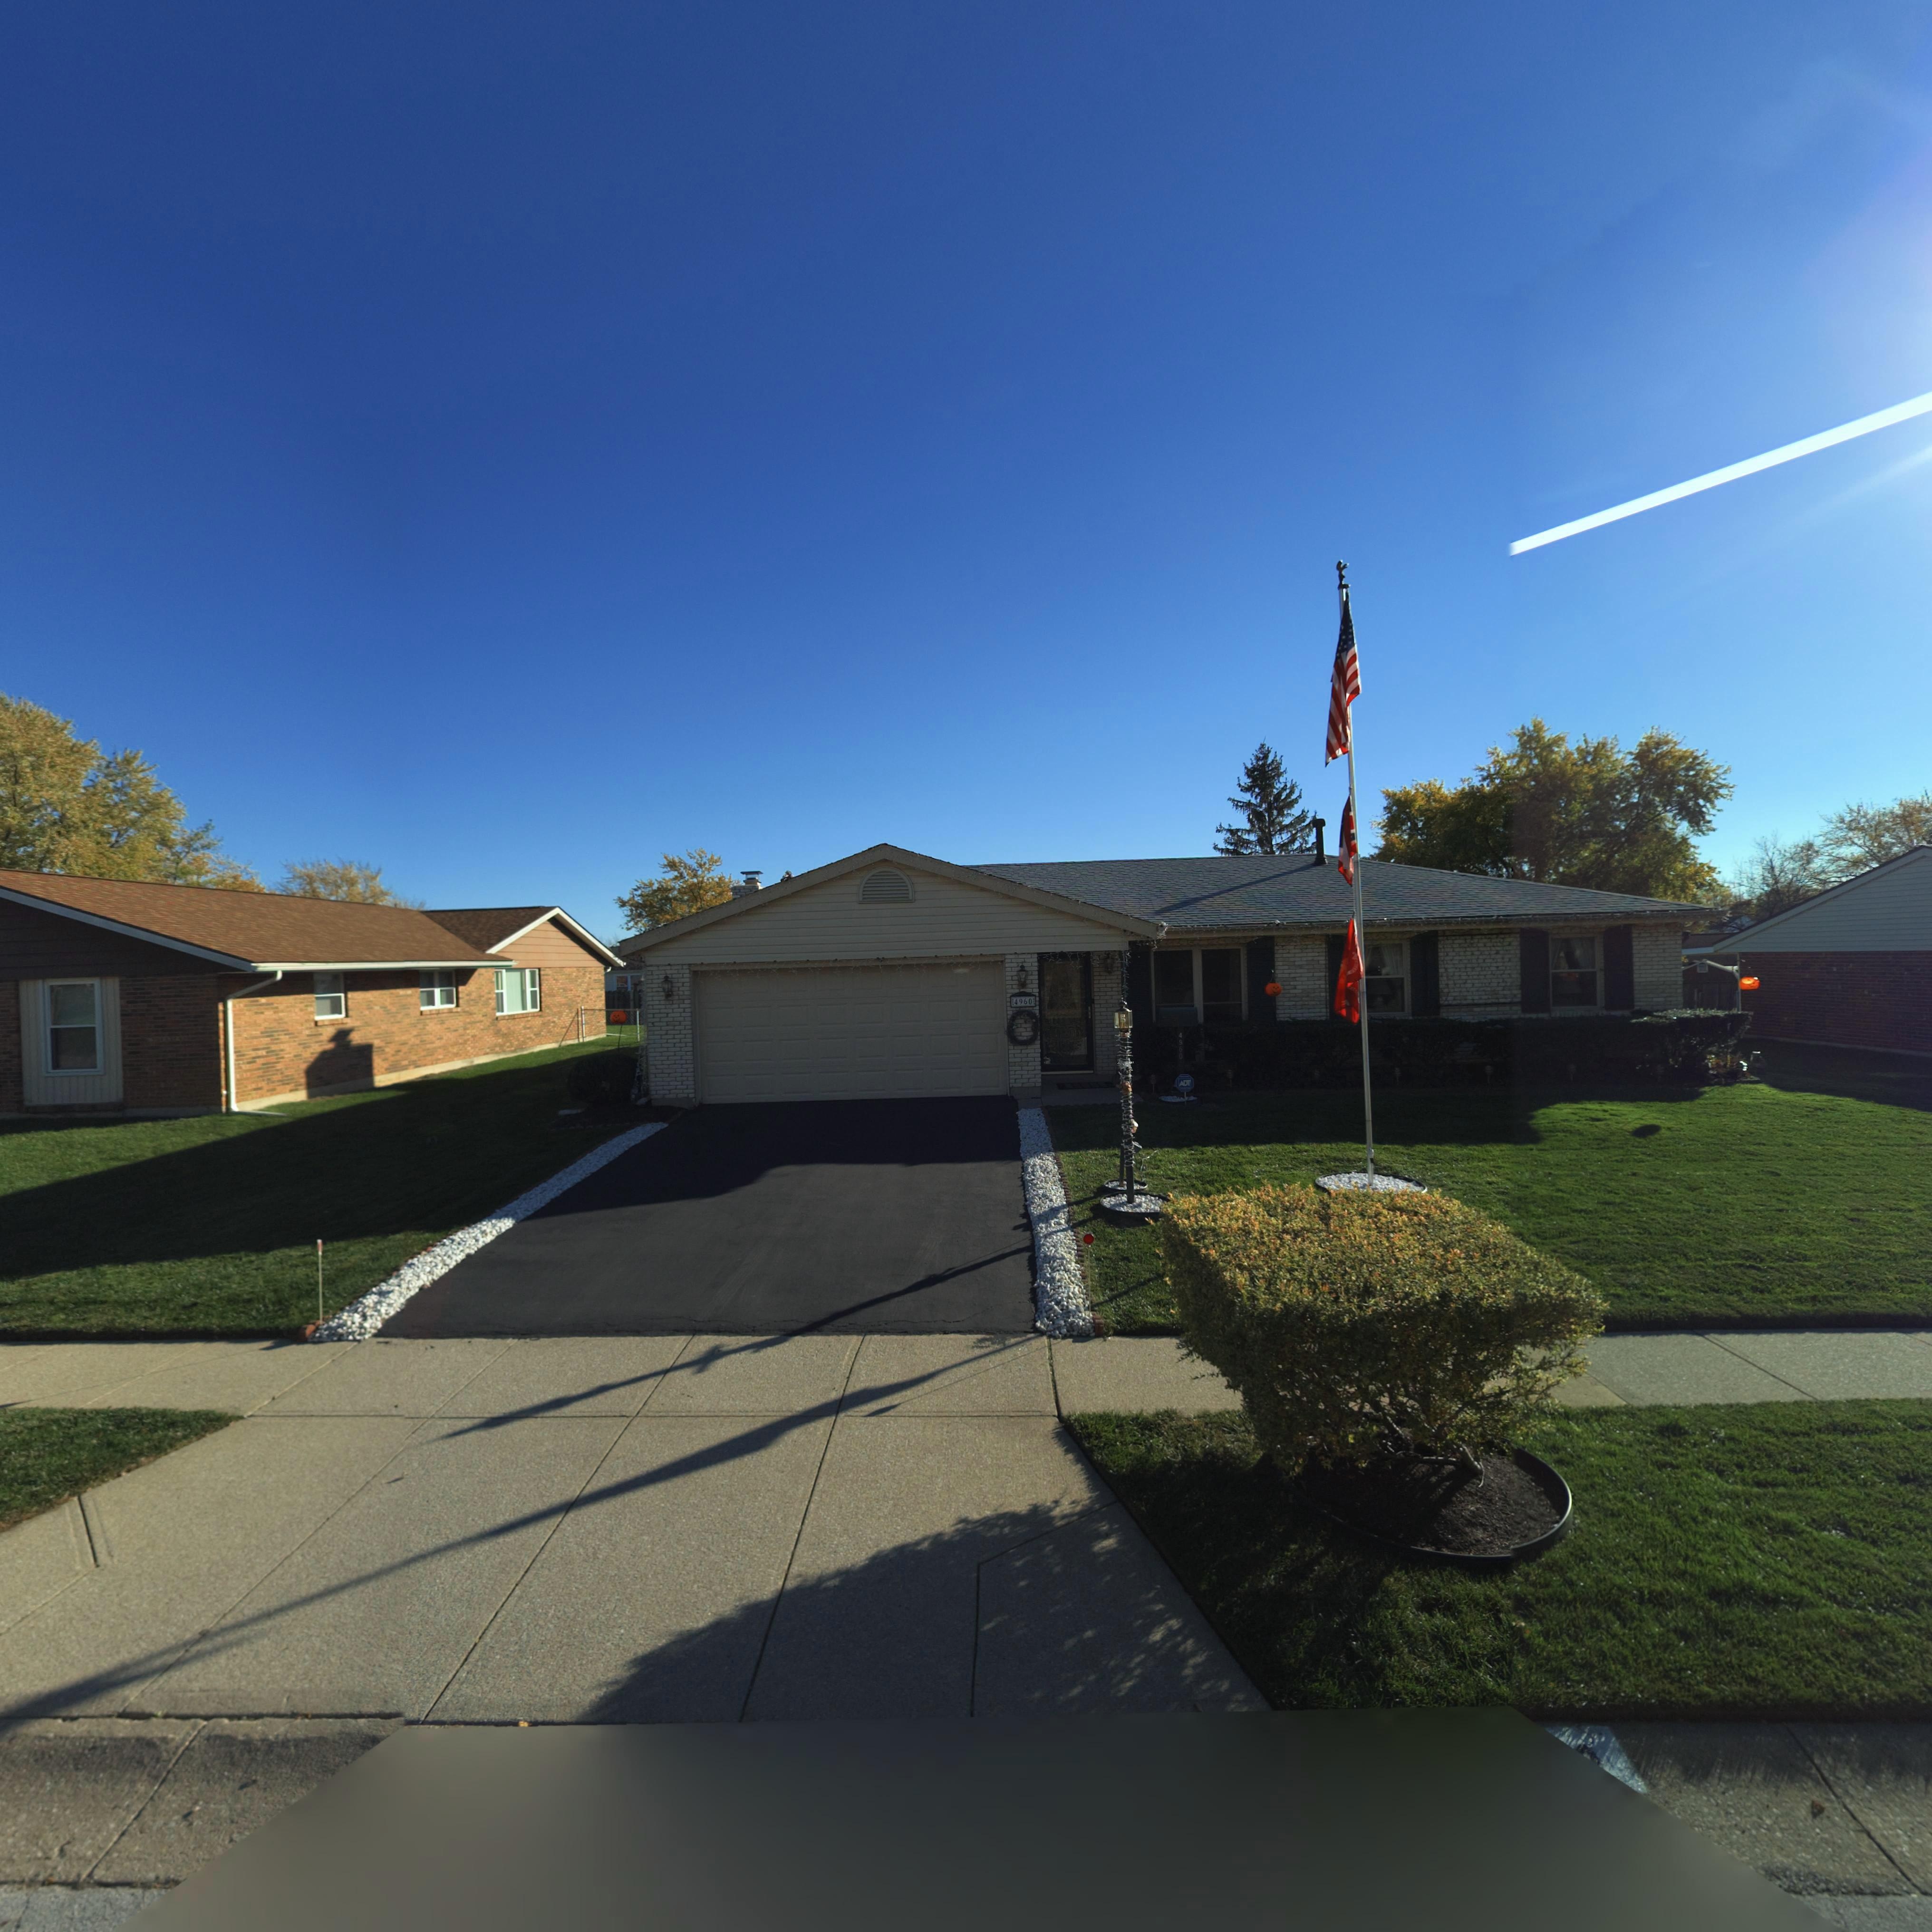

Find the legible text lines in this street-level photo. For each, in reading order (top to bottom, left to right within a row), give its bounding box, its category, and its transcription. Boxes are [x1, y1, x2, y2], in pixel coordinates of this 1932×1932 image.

[1013, 997, 1034, 1005] StreetNumber: 4960
[1178, 1032, 1183, 1060] StreetNumber: 4960